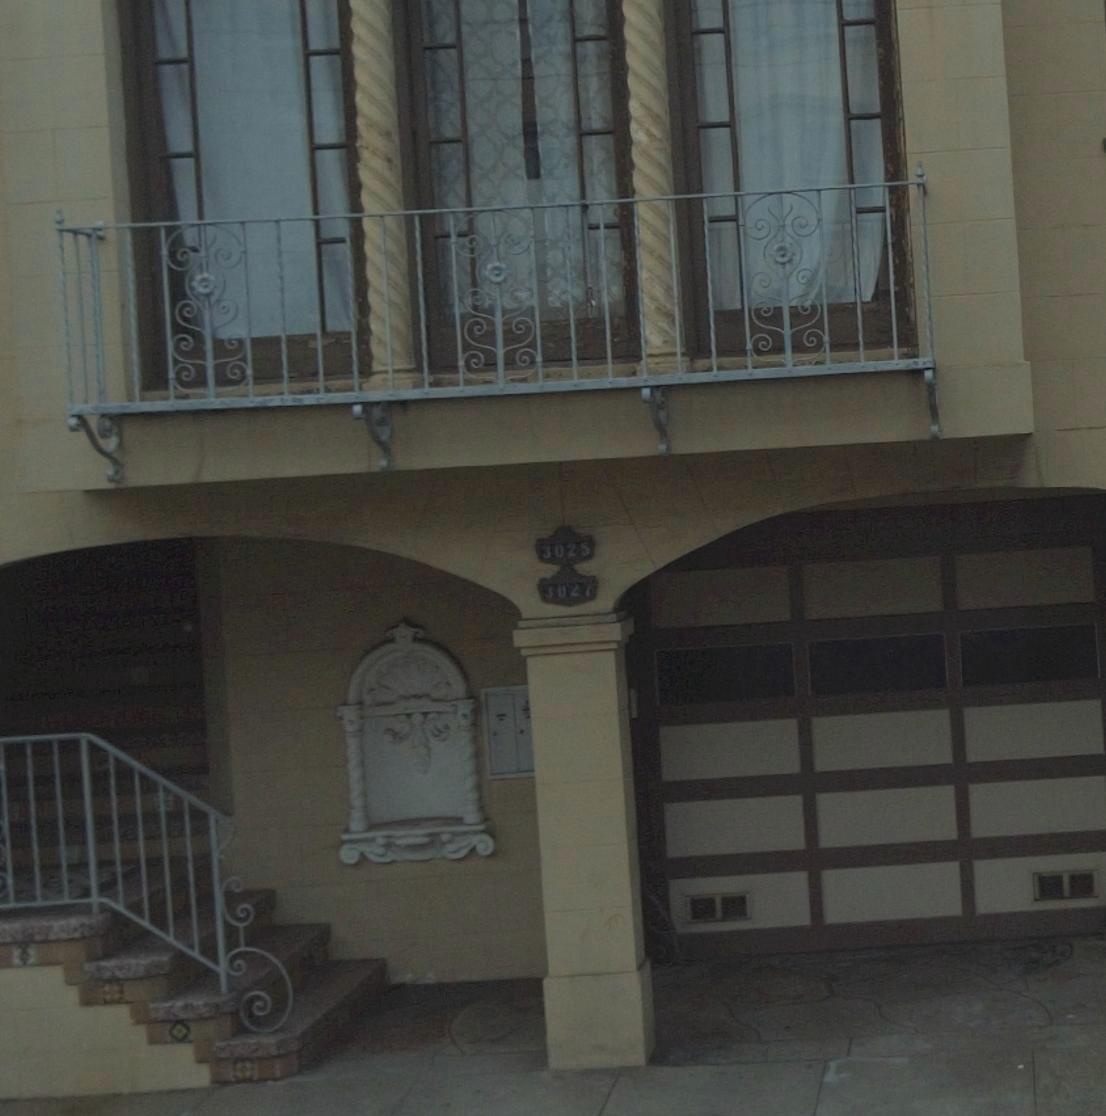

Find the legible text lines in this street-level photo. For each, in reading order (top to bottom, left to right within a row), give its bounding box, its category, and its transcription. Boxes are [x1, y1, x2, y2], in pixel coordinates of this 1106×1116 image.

[538, 538, 595, 563] StreetNumber: 3025
[540, 580, 594, 602] StreetNumber: 3027